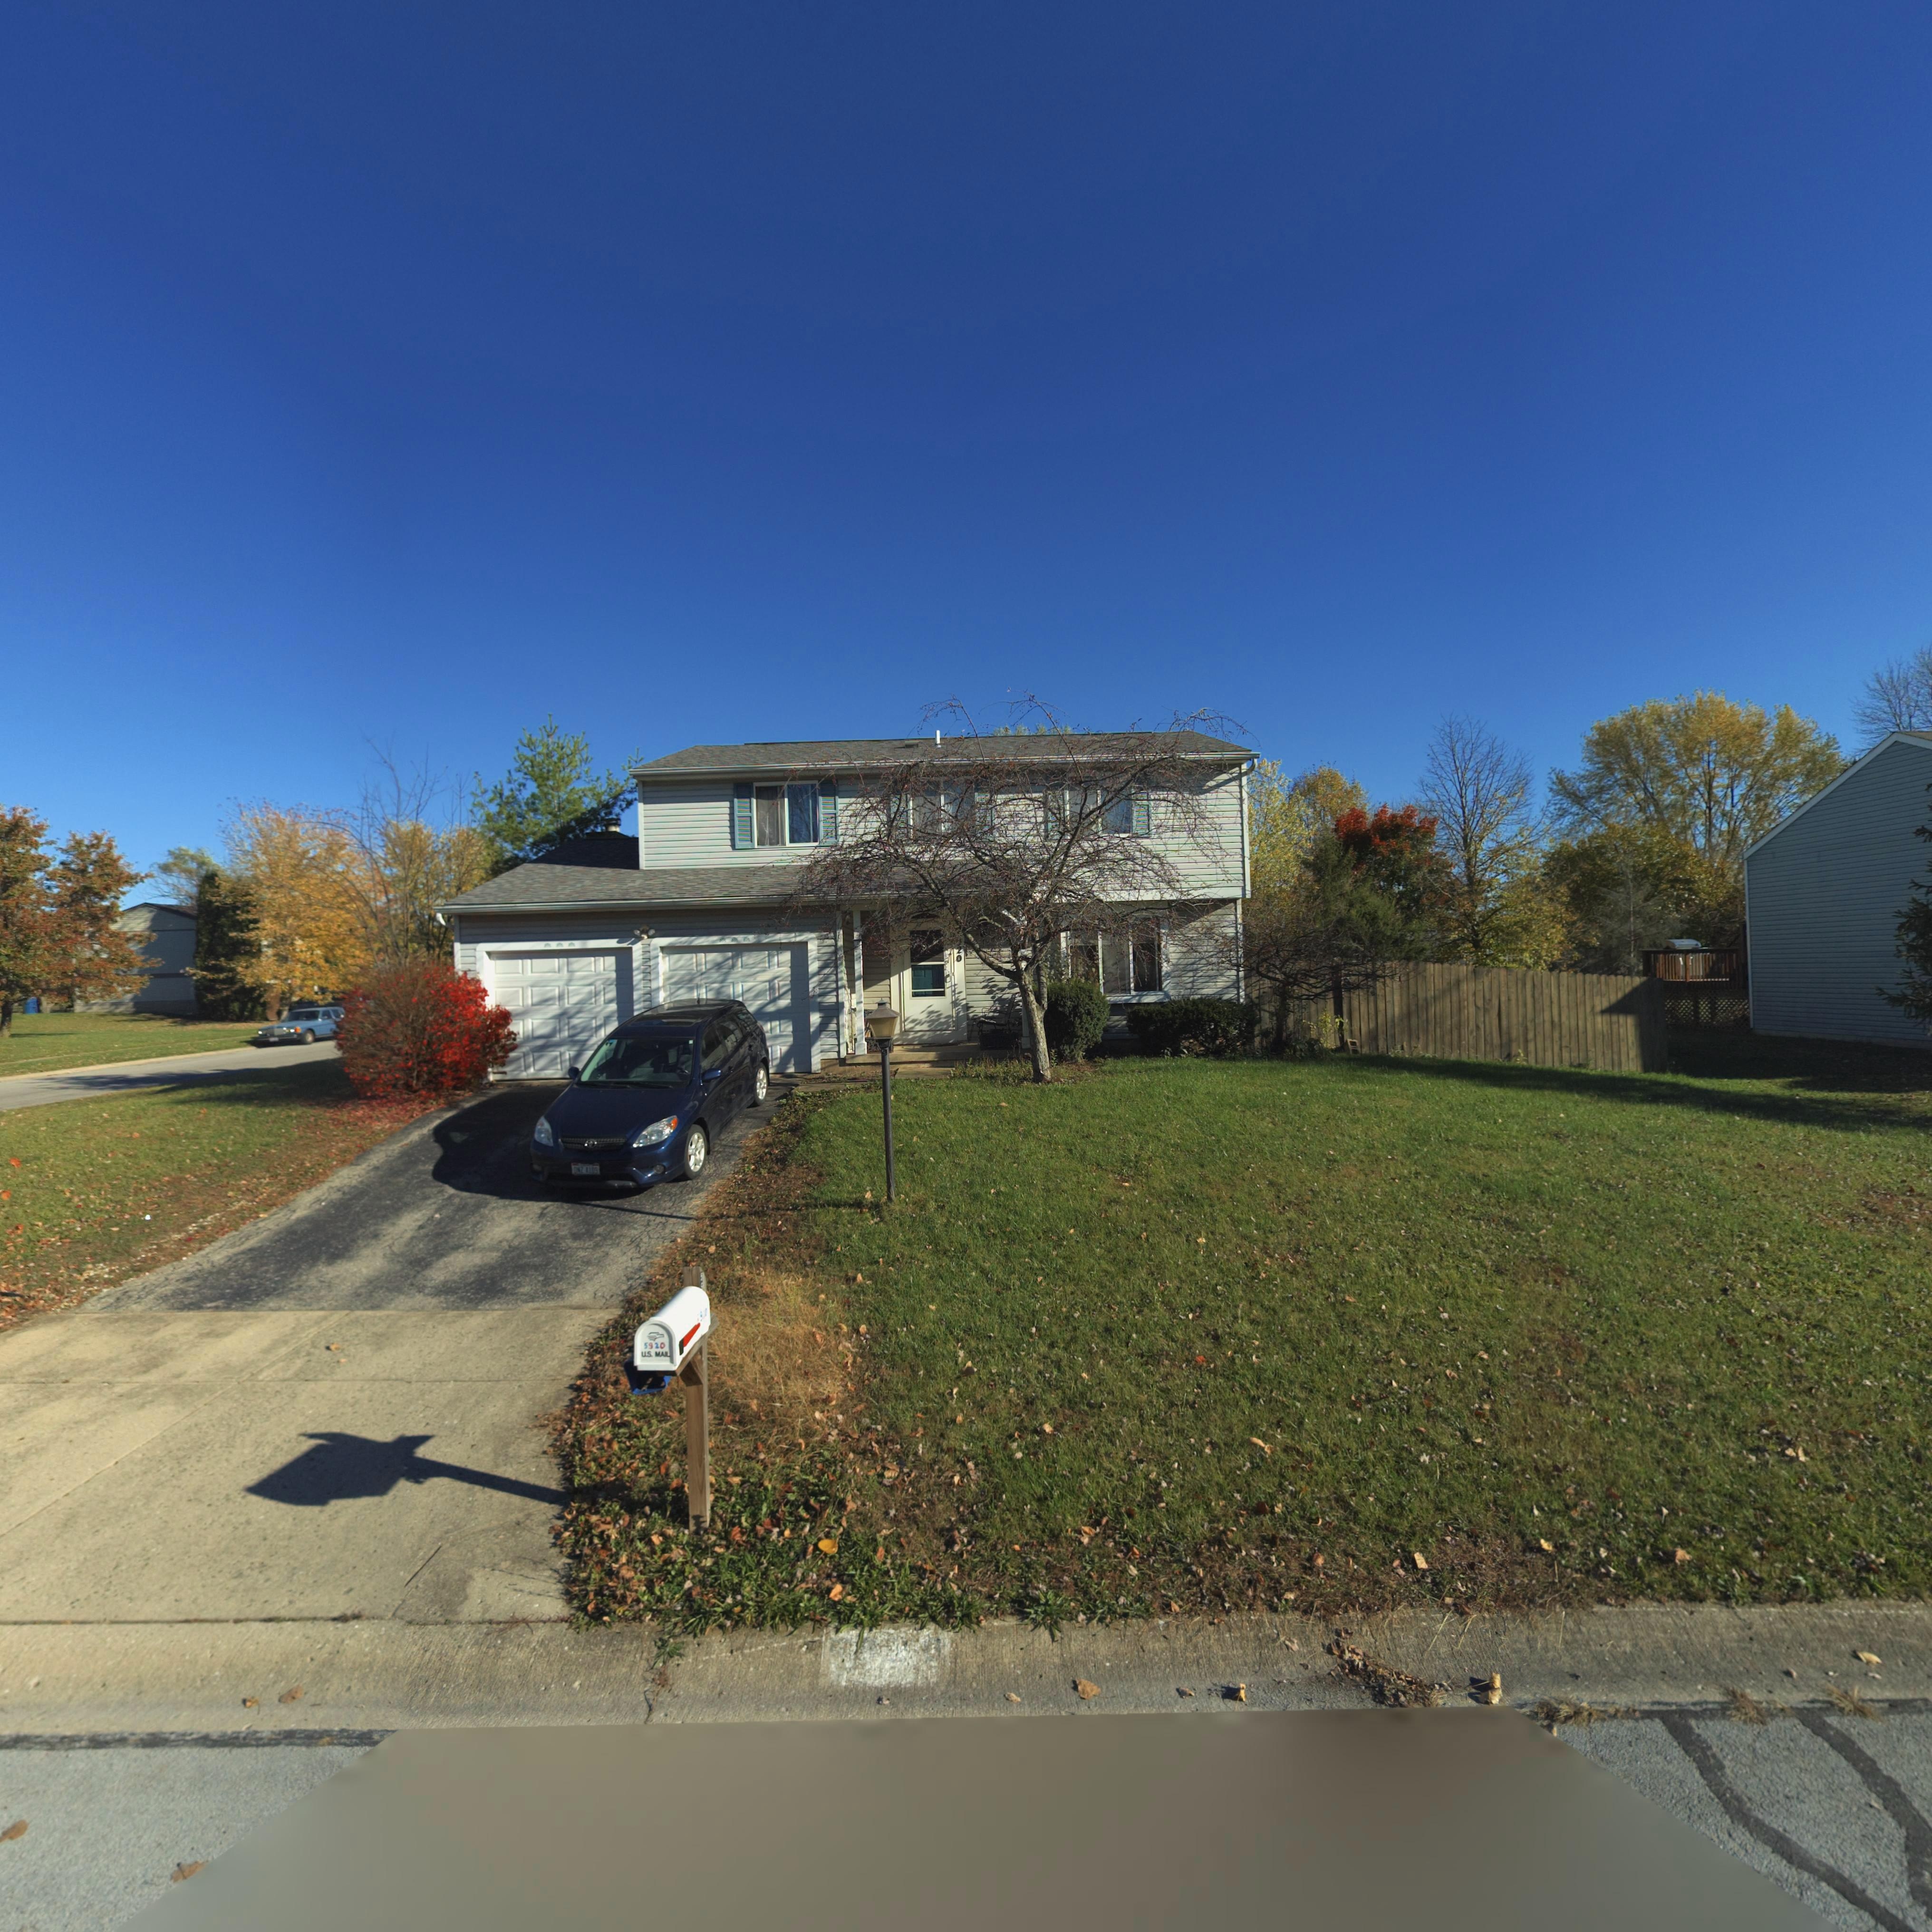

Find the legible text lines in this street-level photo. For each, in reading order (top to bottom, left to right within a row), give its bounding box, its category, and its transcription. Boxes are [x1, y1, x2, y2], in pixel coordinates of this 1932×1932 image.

[955, 945, 963, 963] StreetNumber: 20
[642, 1342, 667, 1350] None: 5920